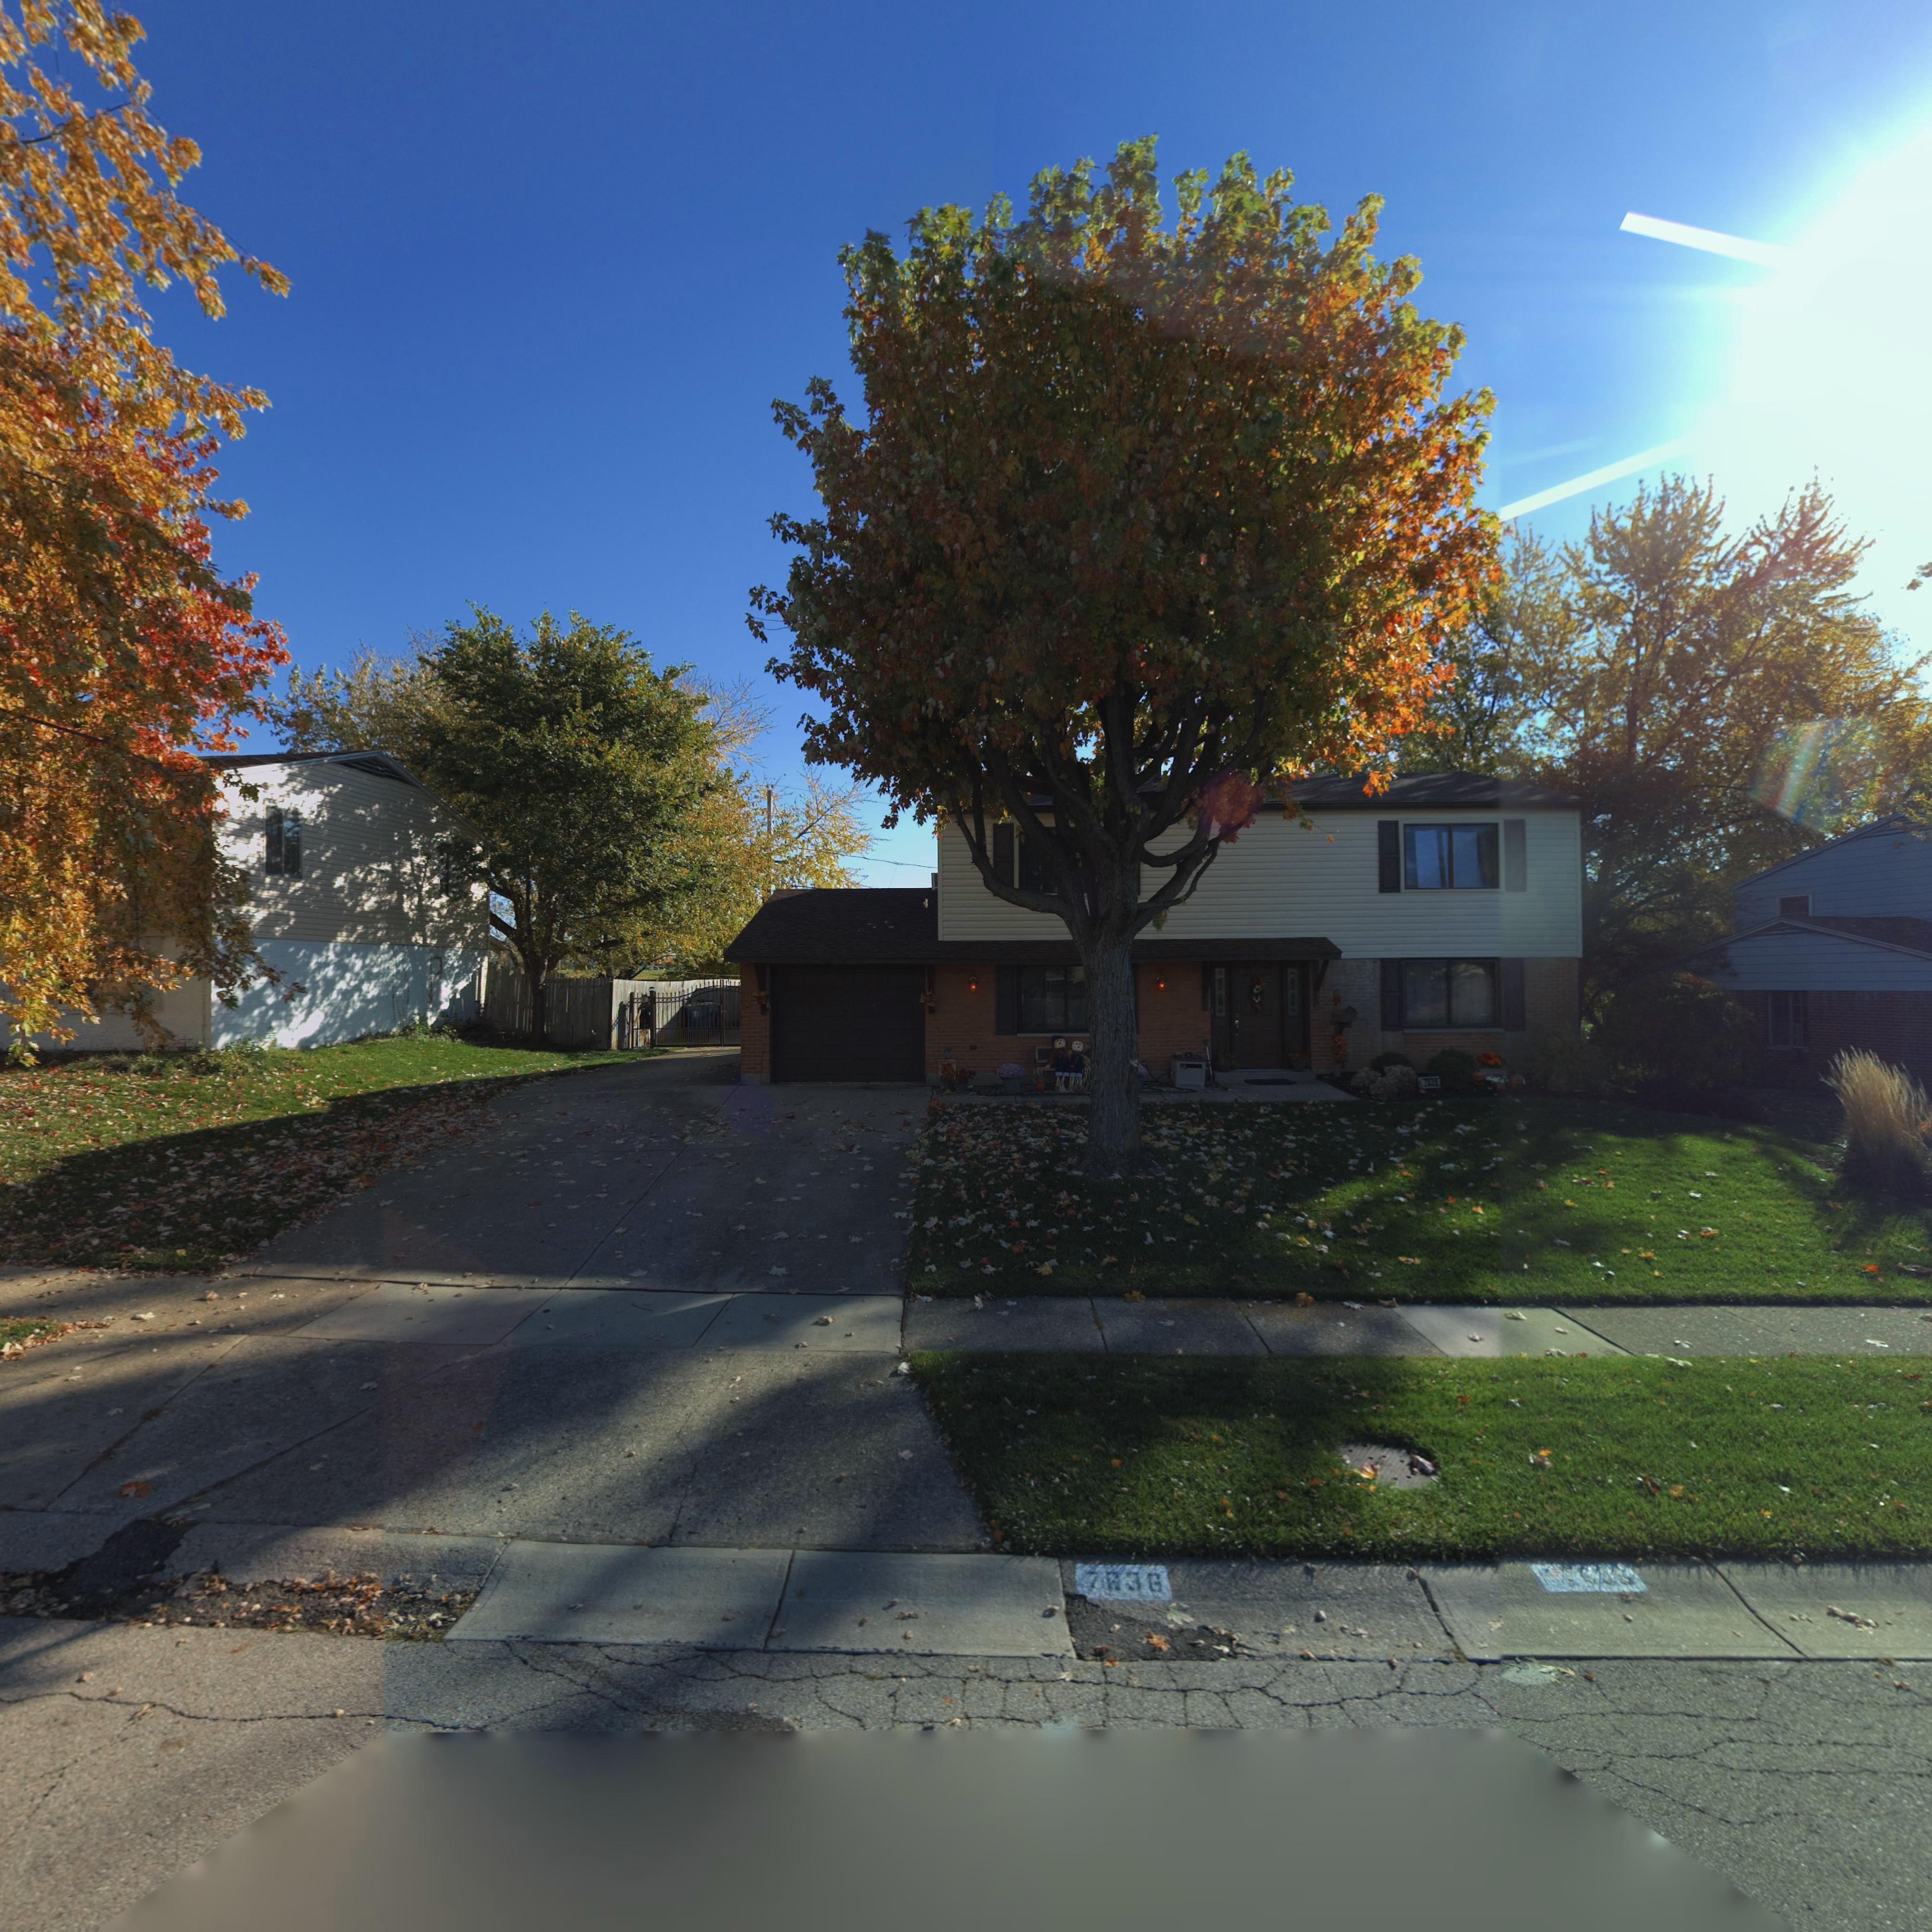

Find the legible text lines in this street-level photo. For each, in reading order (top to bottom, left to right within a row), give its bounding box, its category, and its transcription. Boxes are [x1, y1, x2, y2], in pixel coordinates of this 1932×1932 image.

[1422, 1078, 1439, 1087] StreetNumber: 7636
[1084, 1570, 1164, 1594] StreetNumber: 7636
[1576, 1564, 1640, 1589] StreetNumber: 636